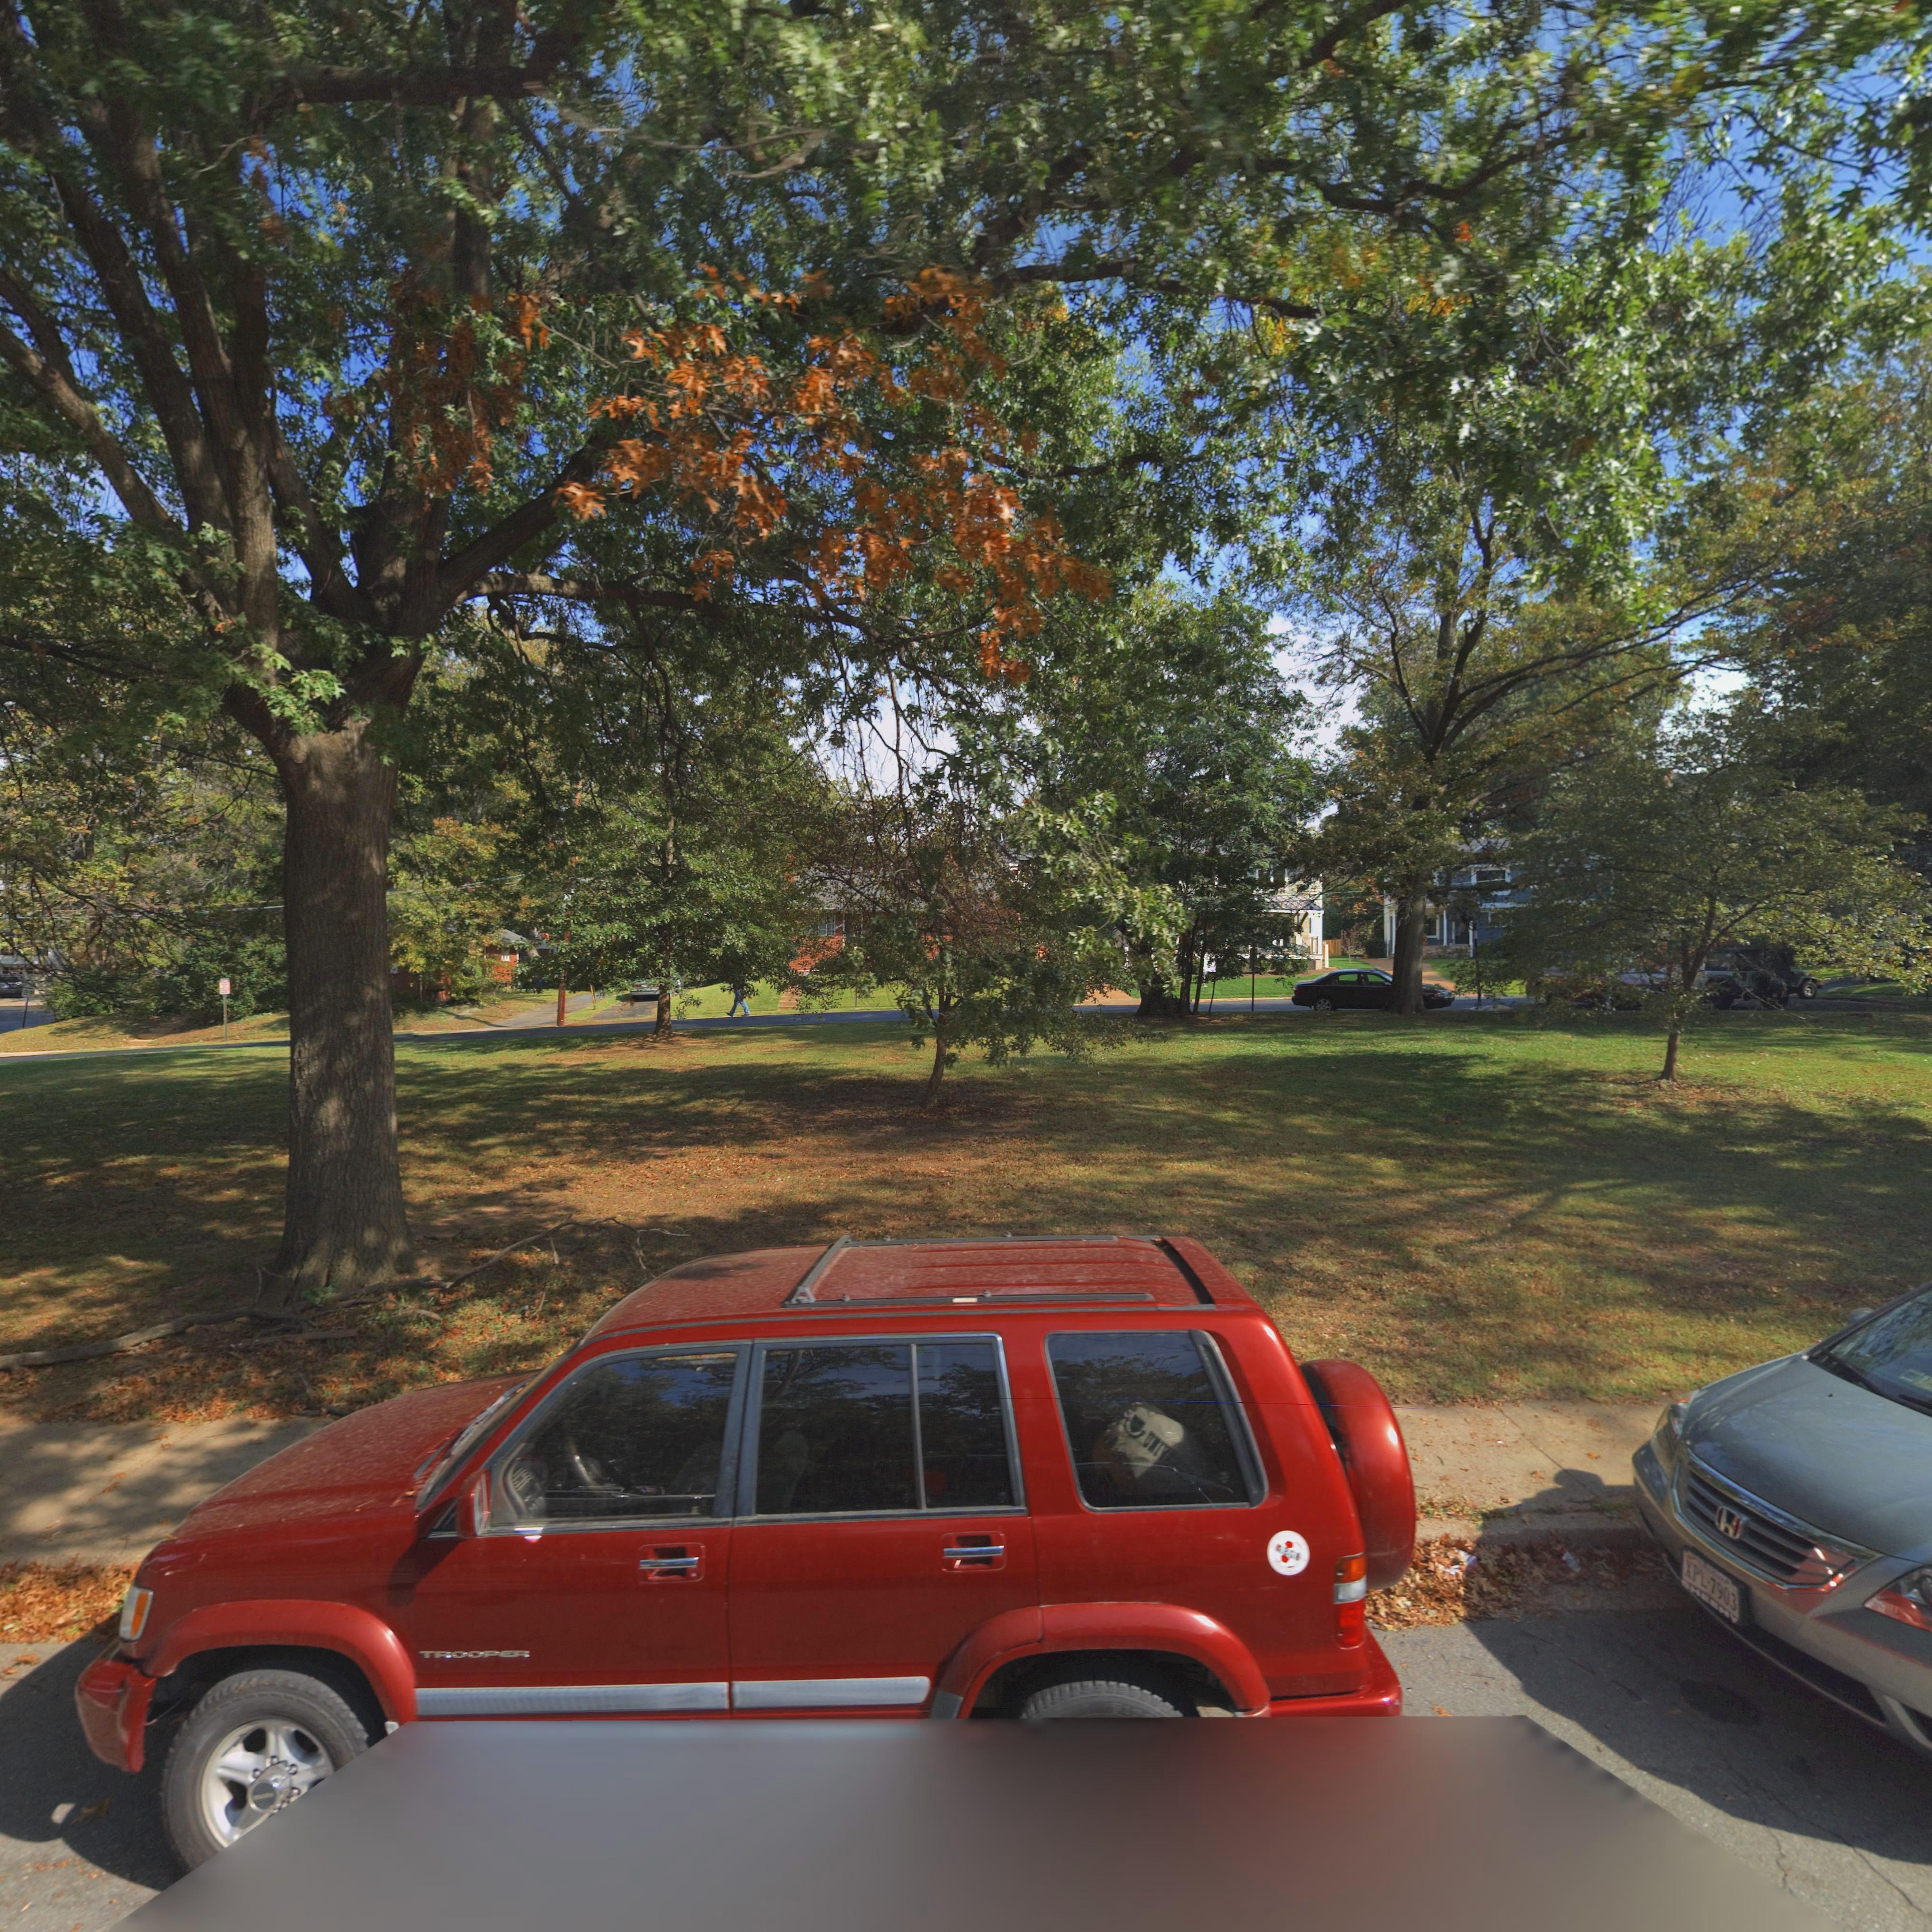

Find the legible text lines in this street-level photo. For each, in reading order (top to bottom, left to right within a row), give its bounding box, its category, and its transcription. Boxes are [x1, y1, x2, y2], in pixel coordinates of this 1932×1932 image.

[1718, 1507, 1740, 1539] None: H
[1680, 1577, 1739, 1626] None: SHEEHY
[1683, 1557, 1738, 1613] None: XPL*7903
[417, 1649, 531, 1659] None: TROOPER